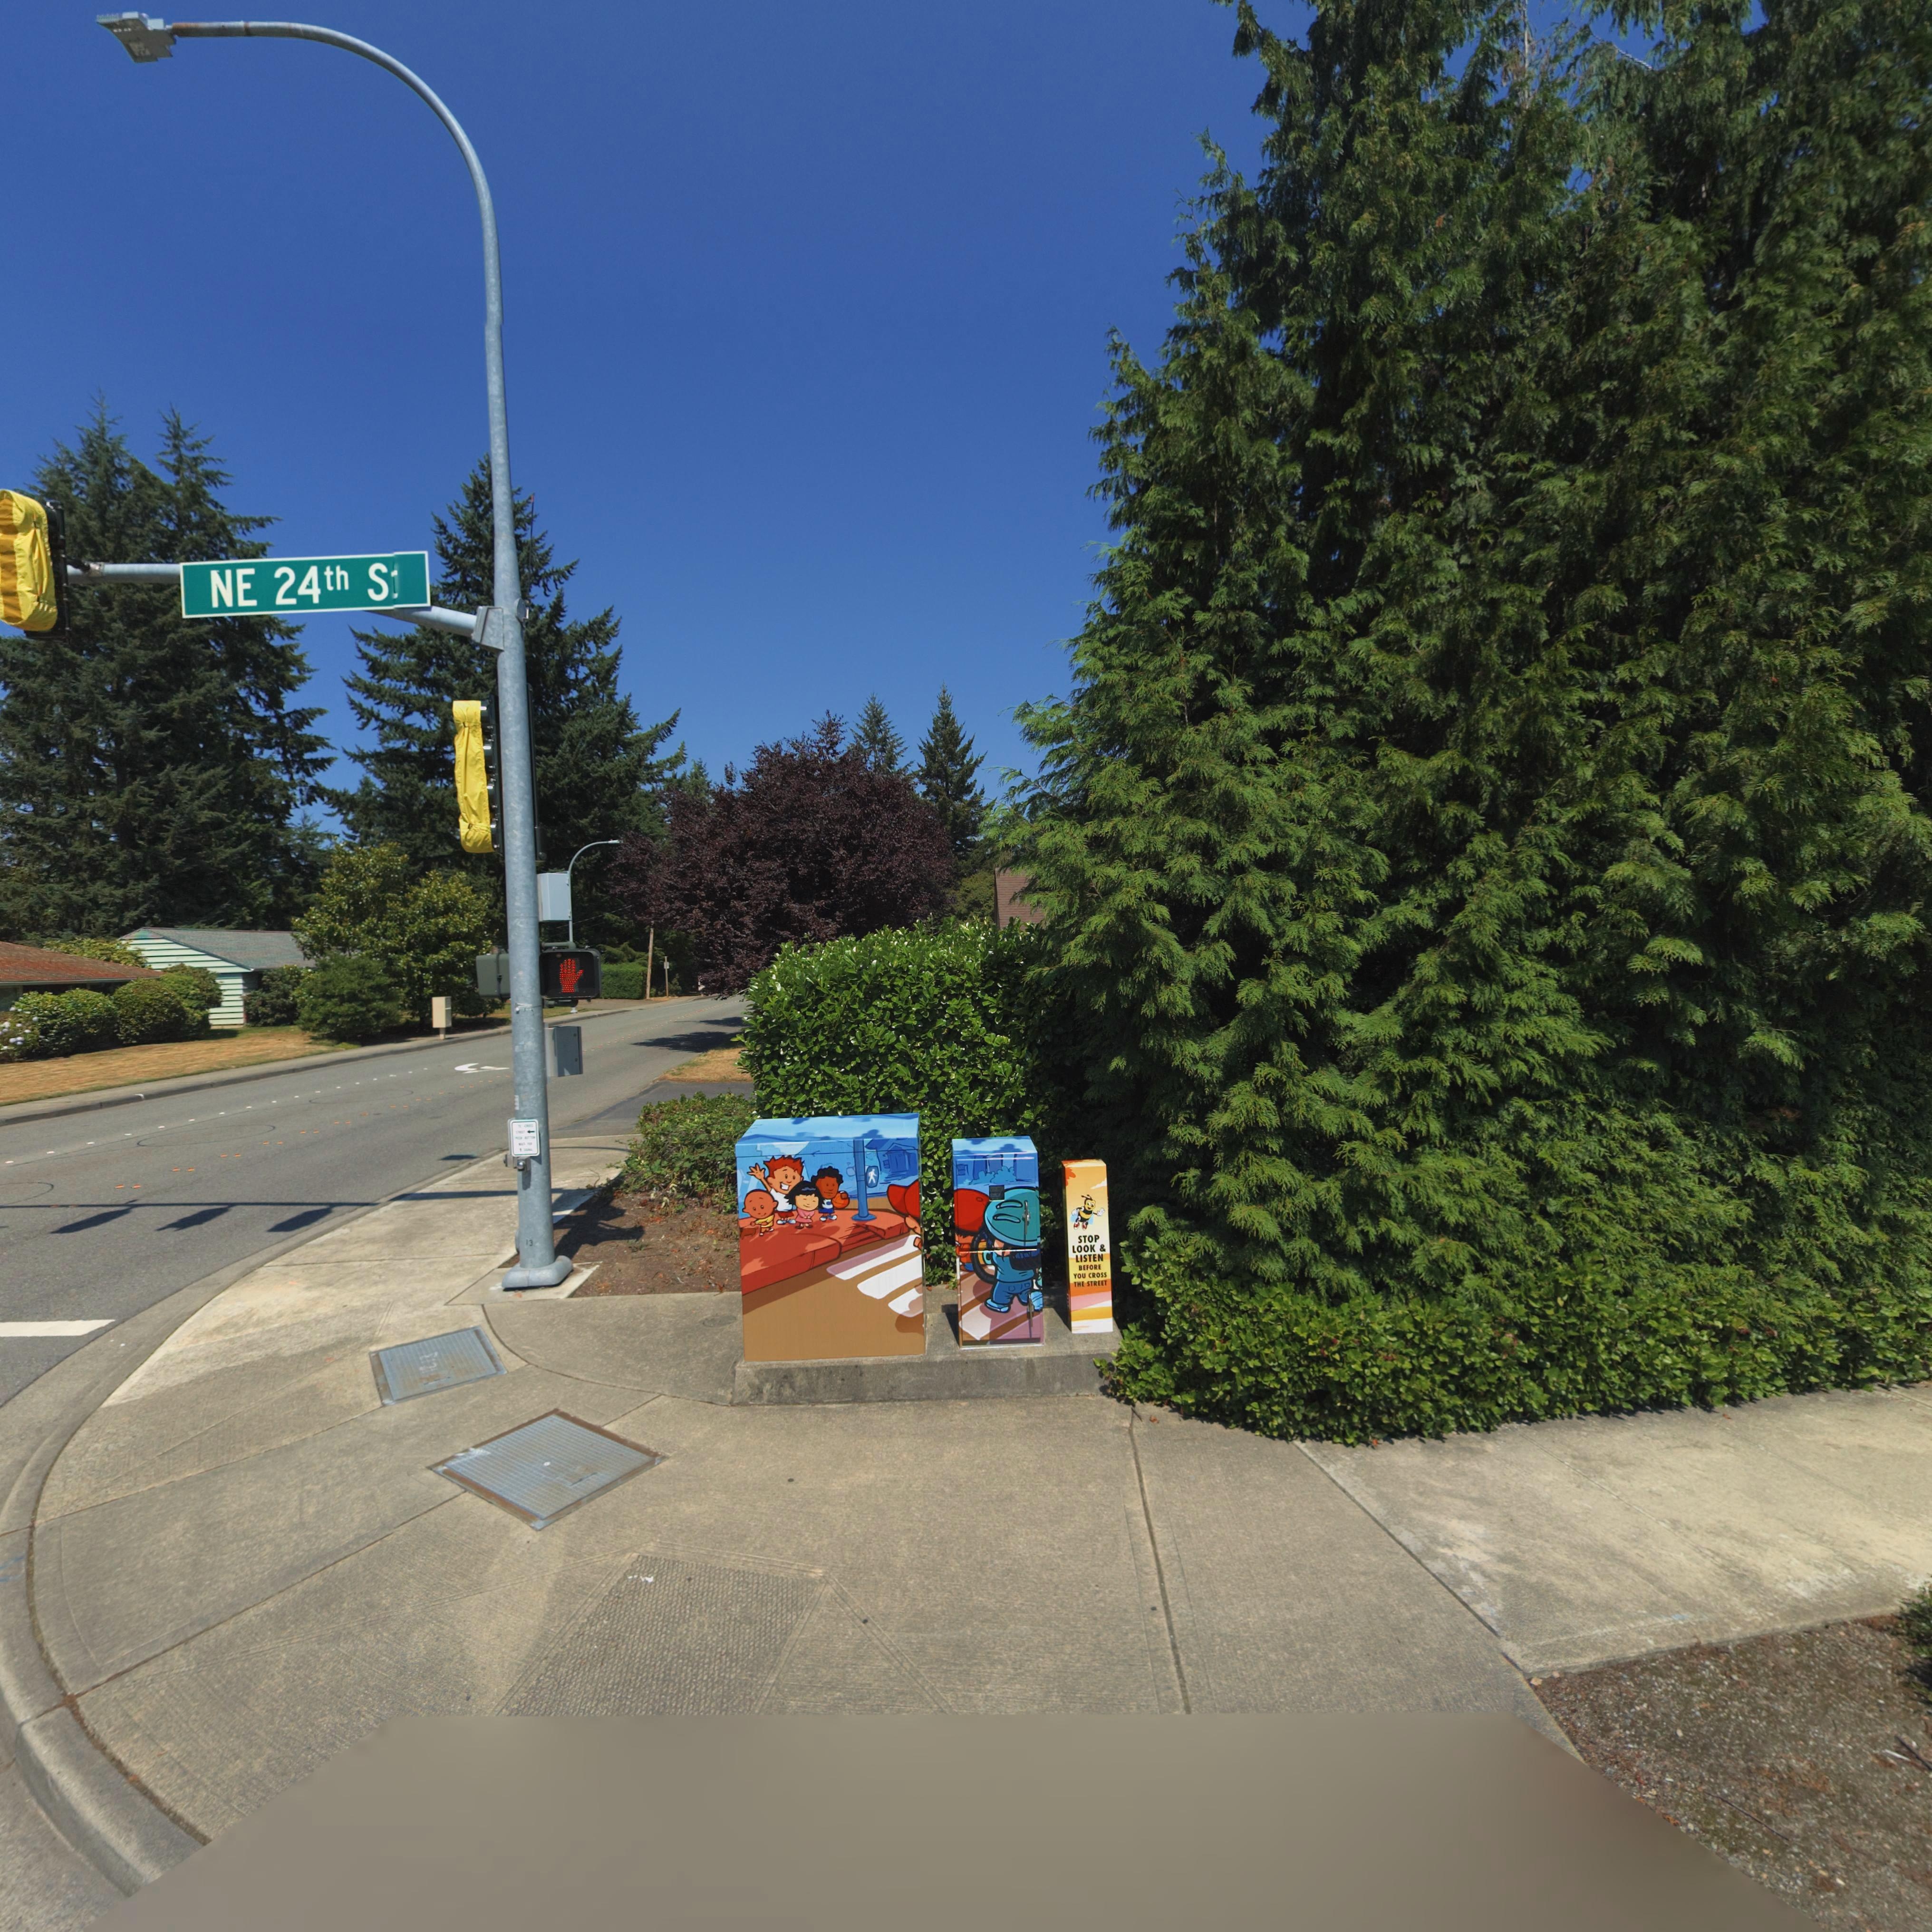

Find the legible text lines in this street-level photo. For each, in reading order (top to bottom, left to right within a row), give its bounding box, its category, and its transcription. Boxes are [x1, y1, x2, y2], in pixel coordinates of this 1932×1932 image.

[211, 562, 388, 607] StreetName: NE 24th S